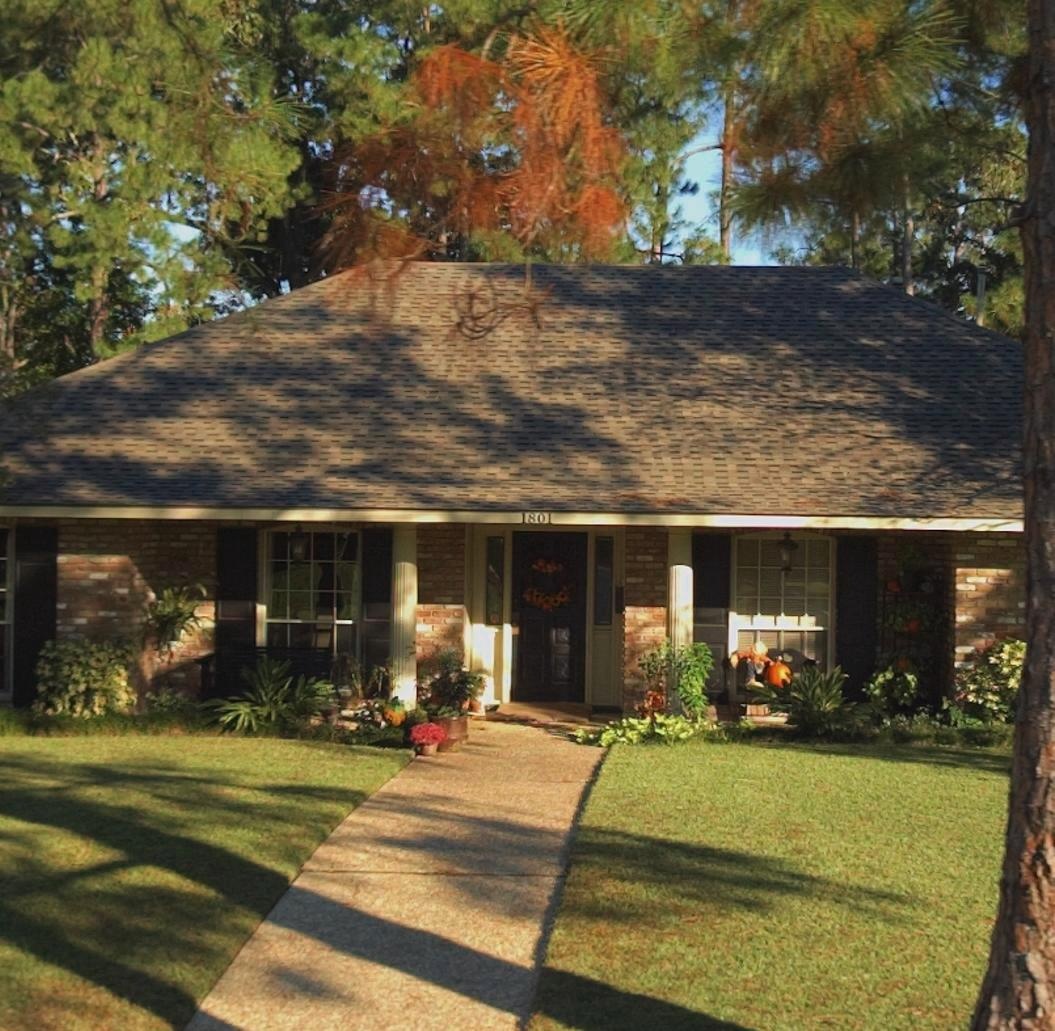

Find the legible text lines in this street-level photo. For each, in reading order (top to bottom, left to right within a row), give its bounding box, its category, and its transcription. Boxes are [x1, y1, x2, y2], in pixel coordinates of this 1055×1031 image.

[520, 512, 553, 524] StreetNumber: 1801